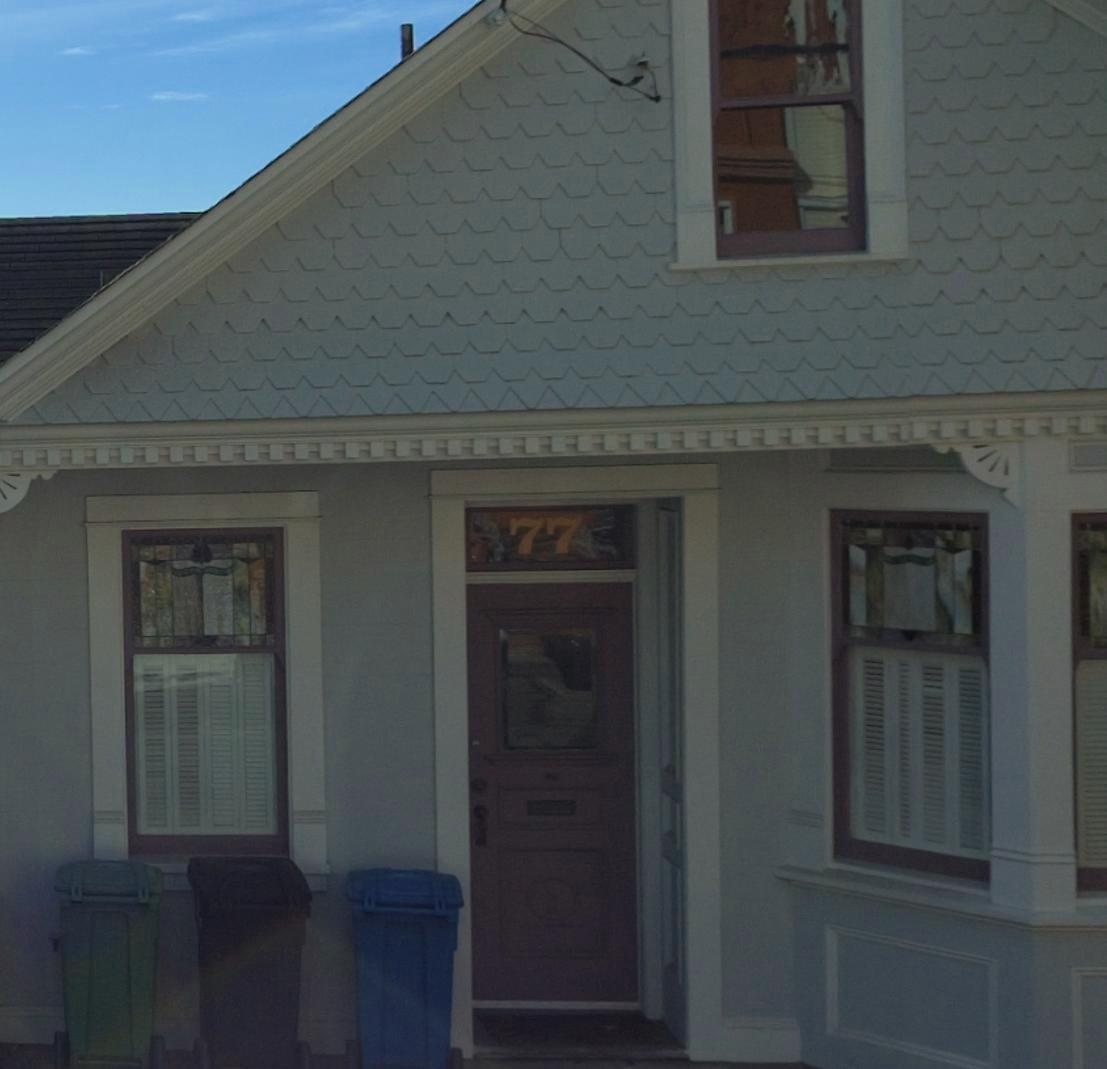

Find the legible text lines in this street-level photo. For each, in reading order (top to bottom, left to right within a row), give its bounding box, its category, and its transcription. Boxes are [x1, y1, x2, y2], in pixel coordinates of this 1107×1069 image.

[508, 514, 582, 557] StreetNumber: 77